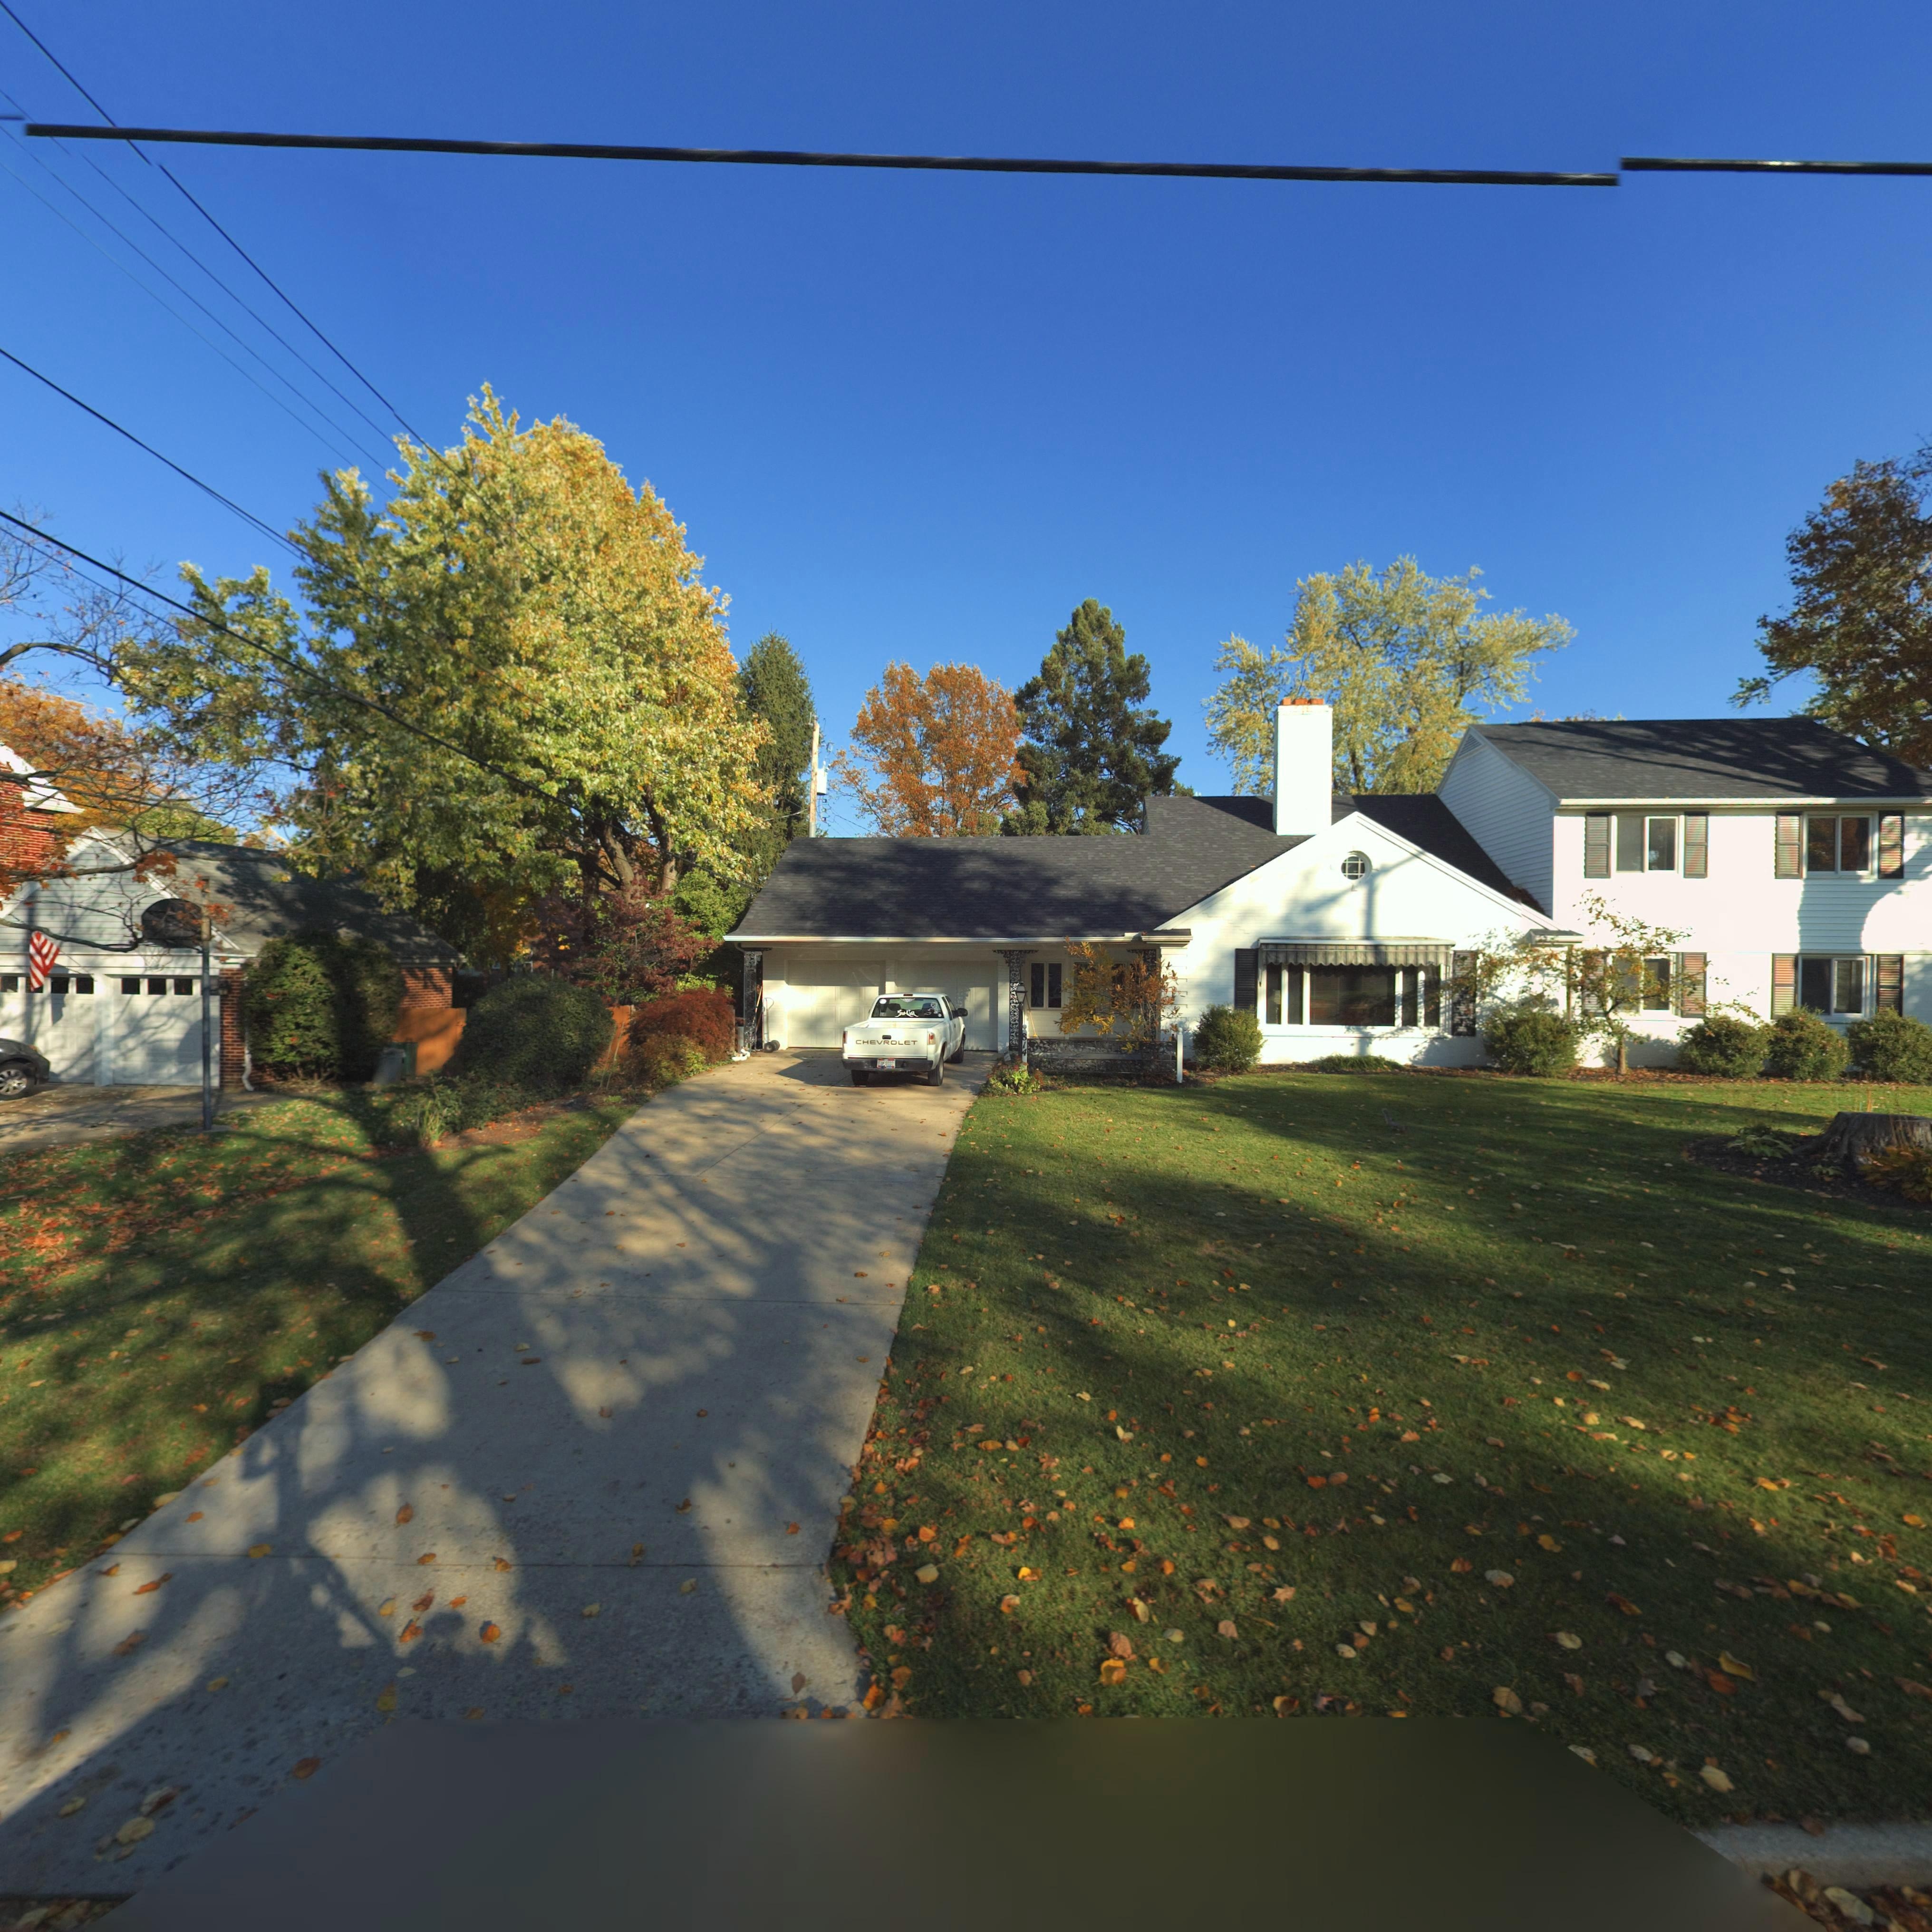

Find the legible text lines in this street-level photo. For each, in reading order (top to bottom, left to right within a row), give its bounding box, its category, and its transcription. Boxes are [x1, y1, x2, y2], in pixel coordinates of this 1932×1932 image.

[1022, 1033, 1027, 1056] StreetNumber: 814